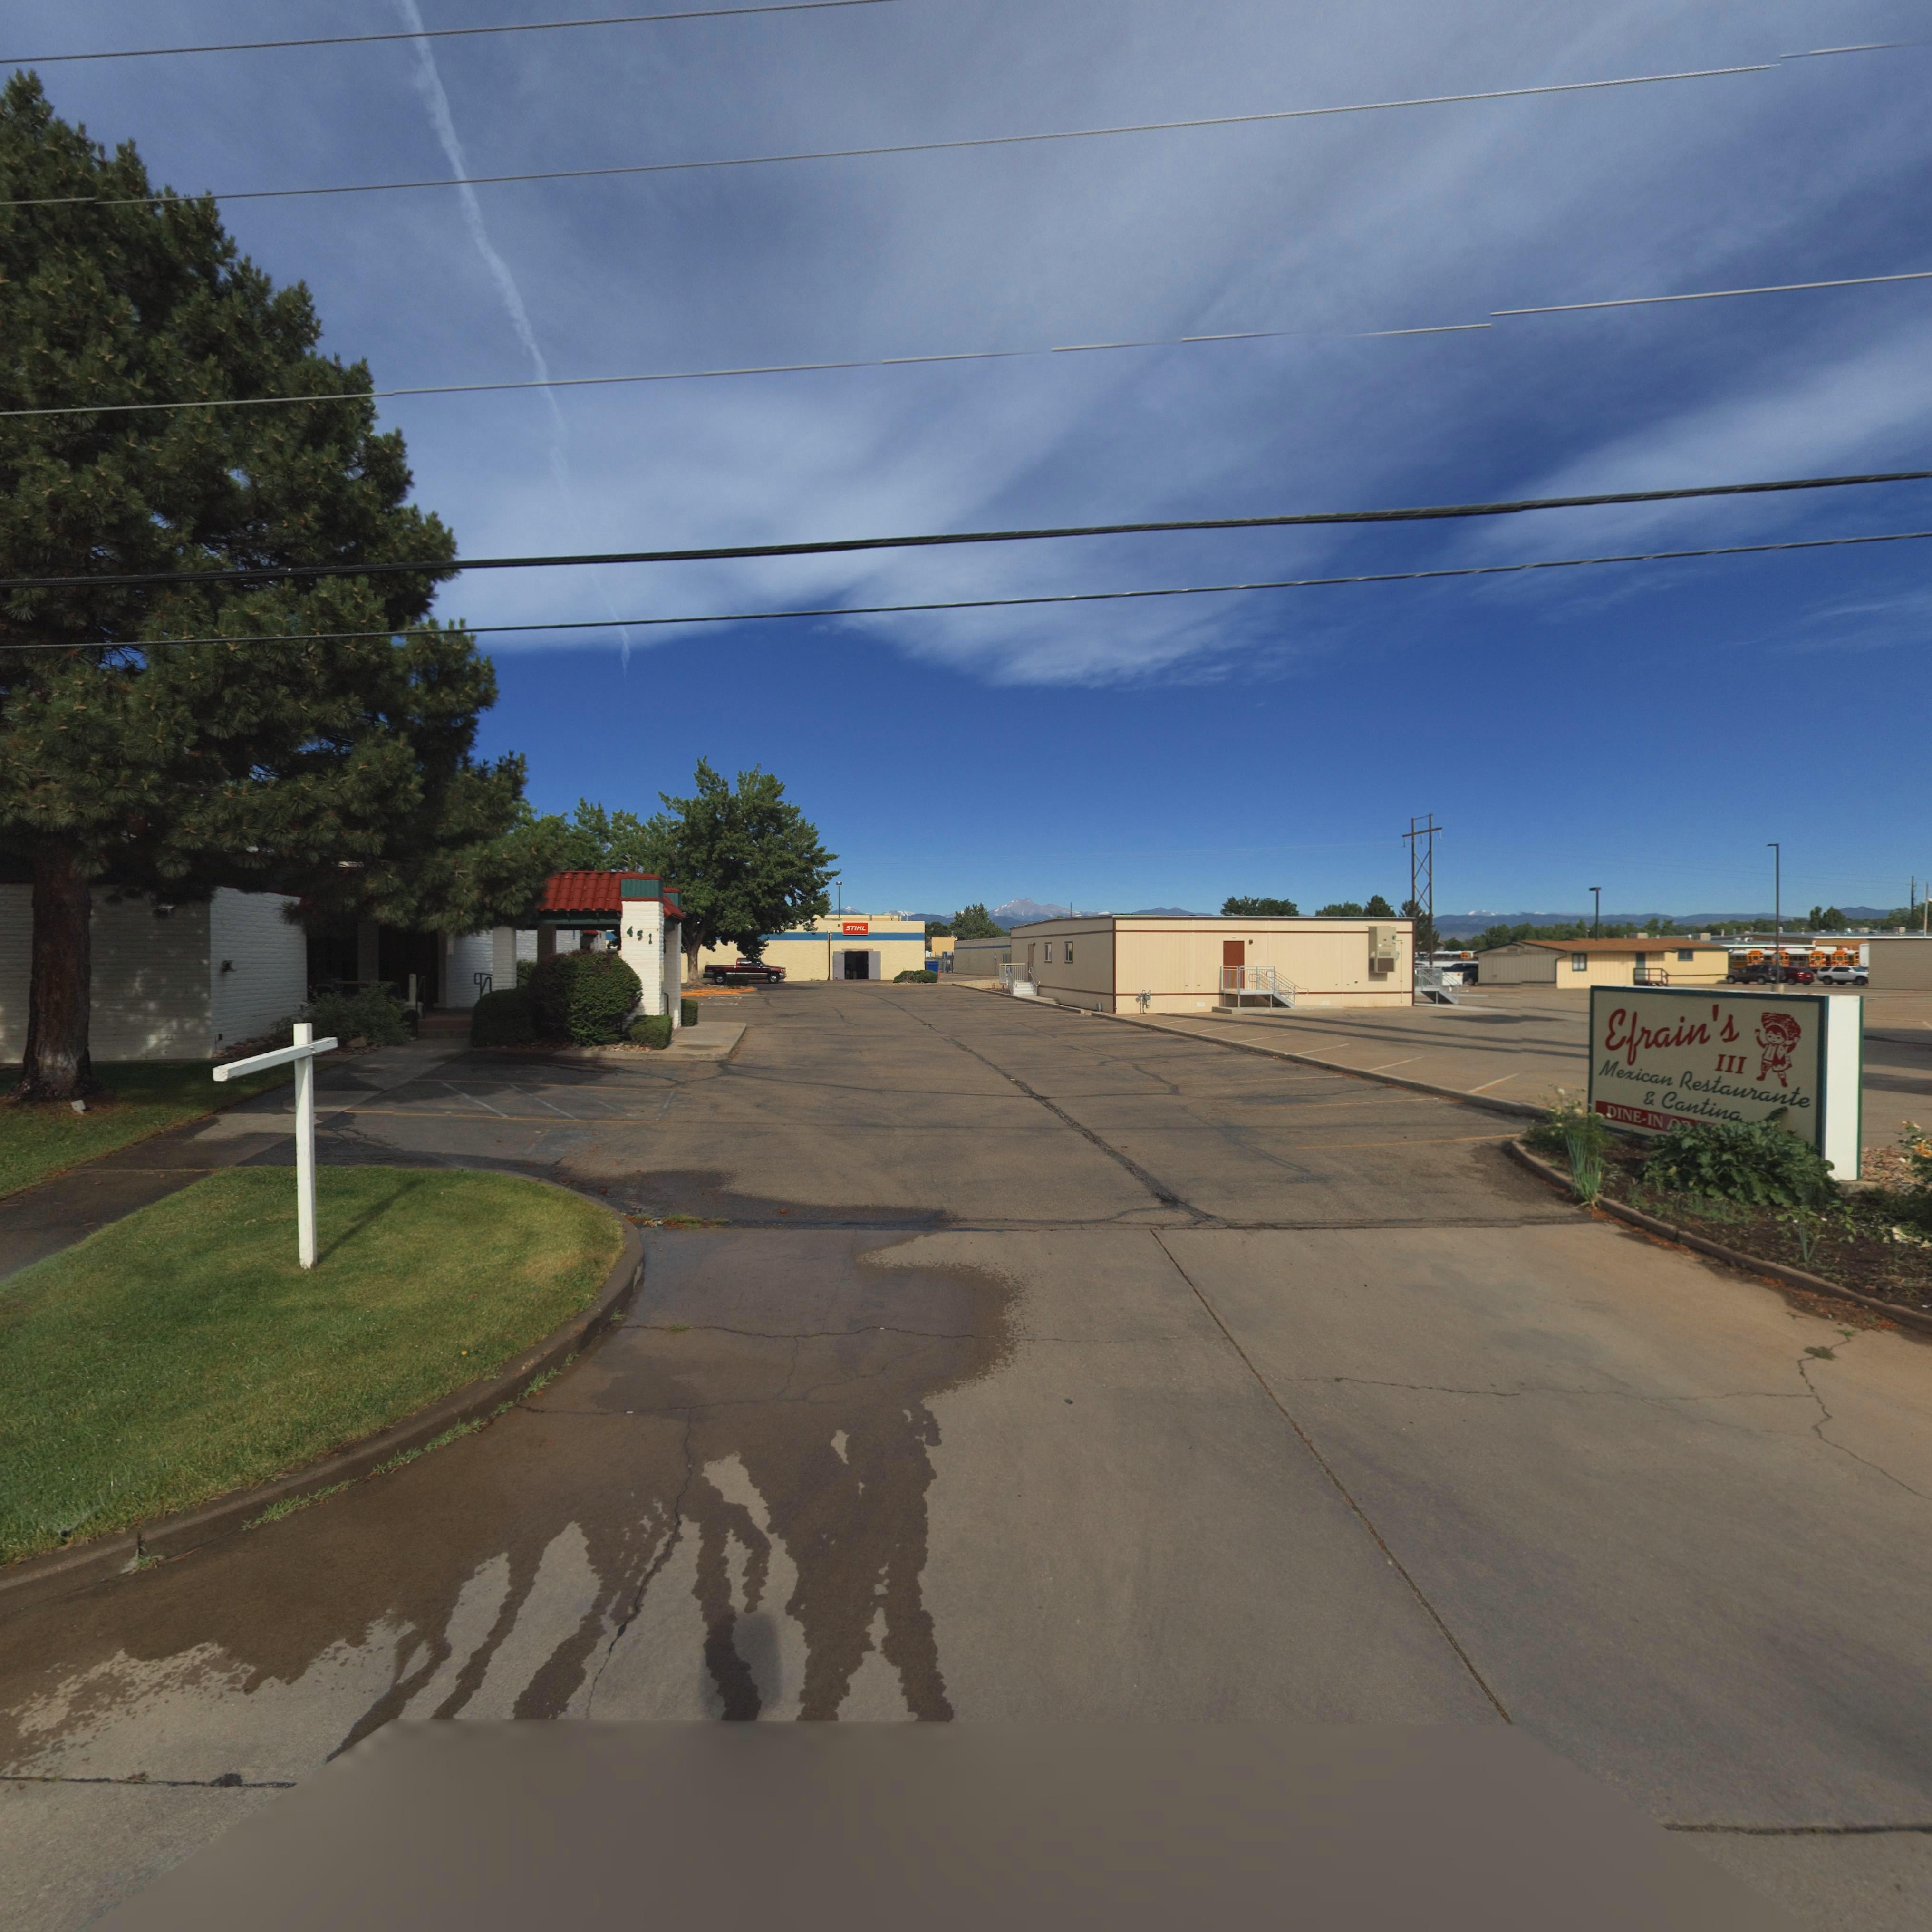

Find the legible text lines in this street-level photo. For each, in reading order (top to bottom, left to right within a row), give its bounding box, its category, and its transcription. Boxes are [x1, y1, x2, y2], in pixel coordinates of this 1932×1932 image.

[626, 925, 657, 945] StreetNumber: 451
[845, 926, 866, 930] BusinessName: STIHL
[1604, 1003, 1740, 1066] BusinessName: Efrain*s
[1597, 1059, 1811, 1108] BusinessName: Mexican Restaurante
[1642, 1090, 1744, 1122] BusinessName: * Cantina